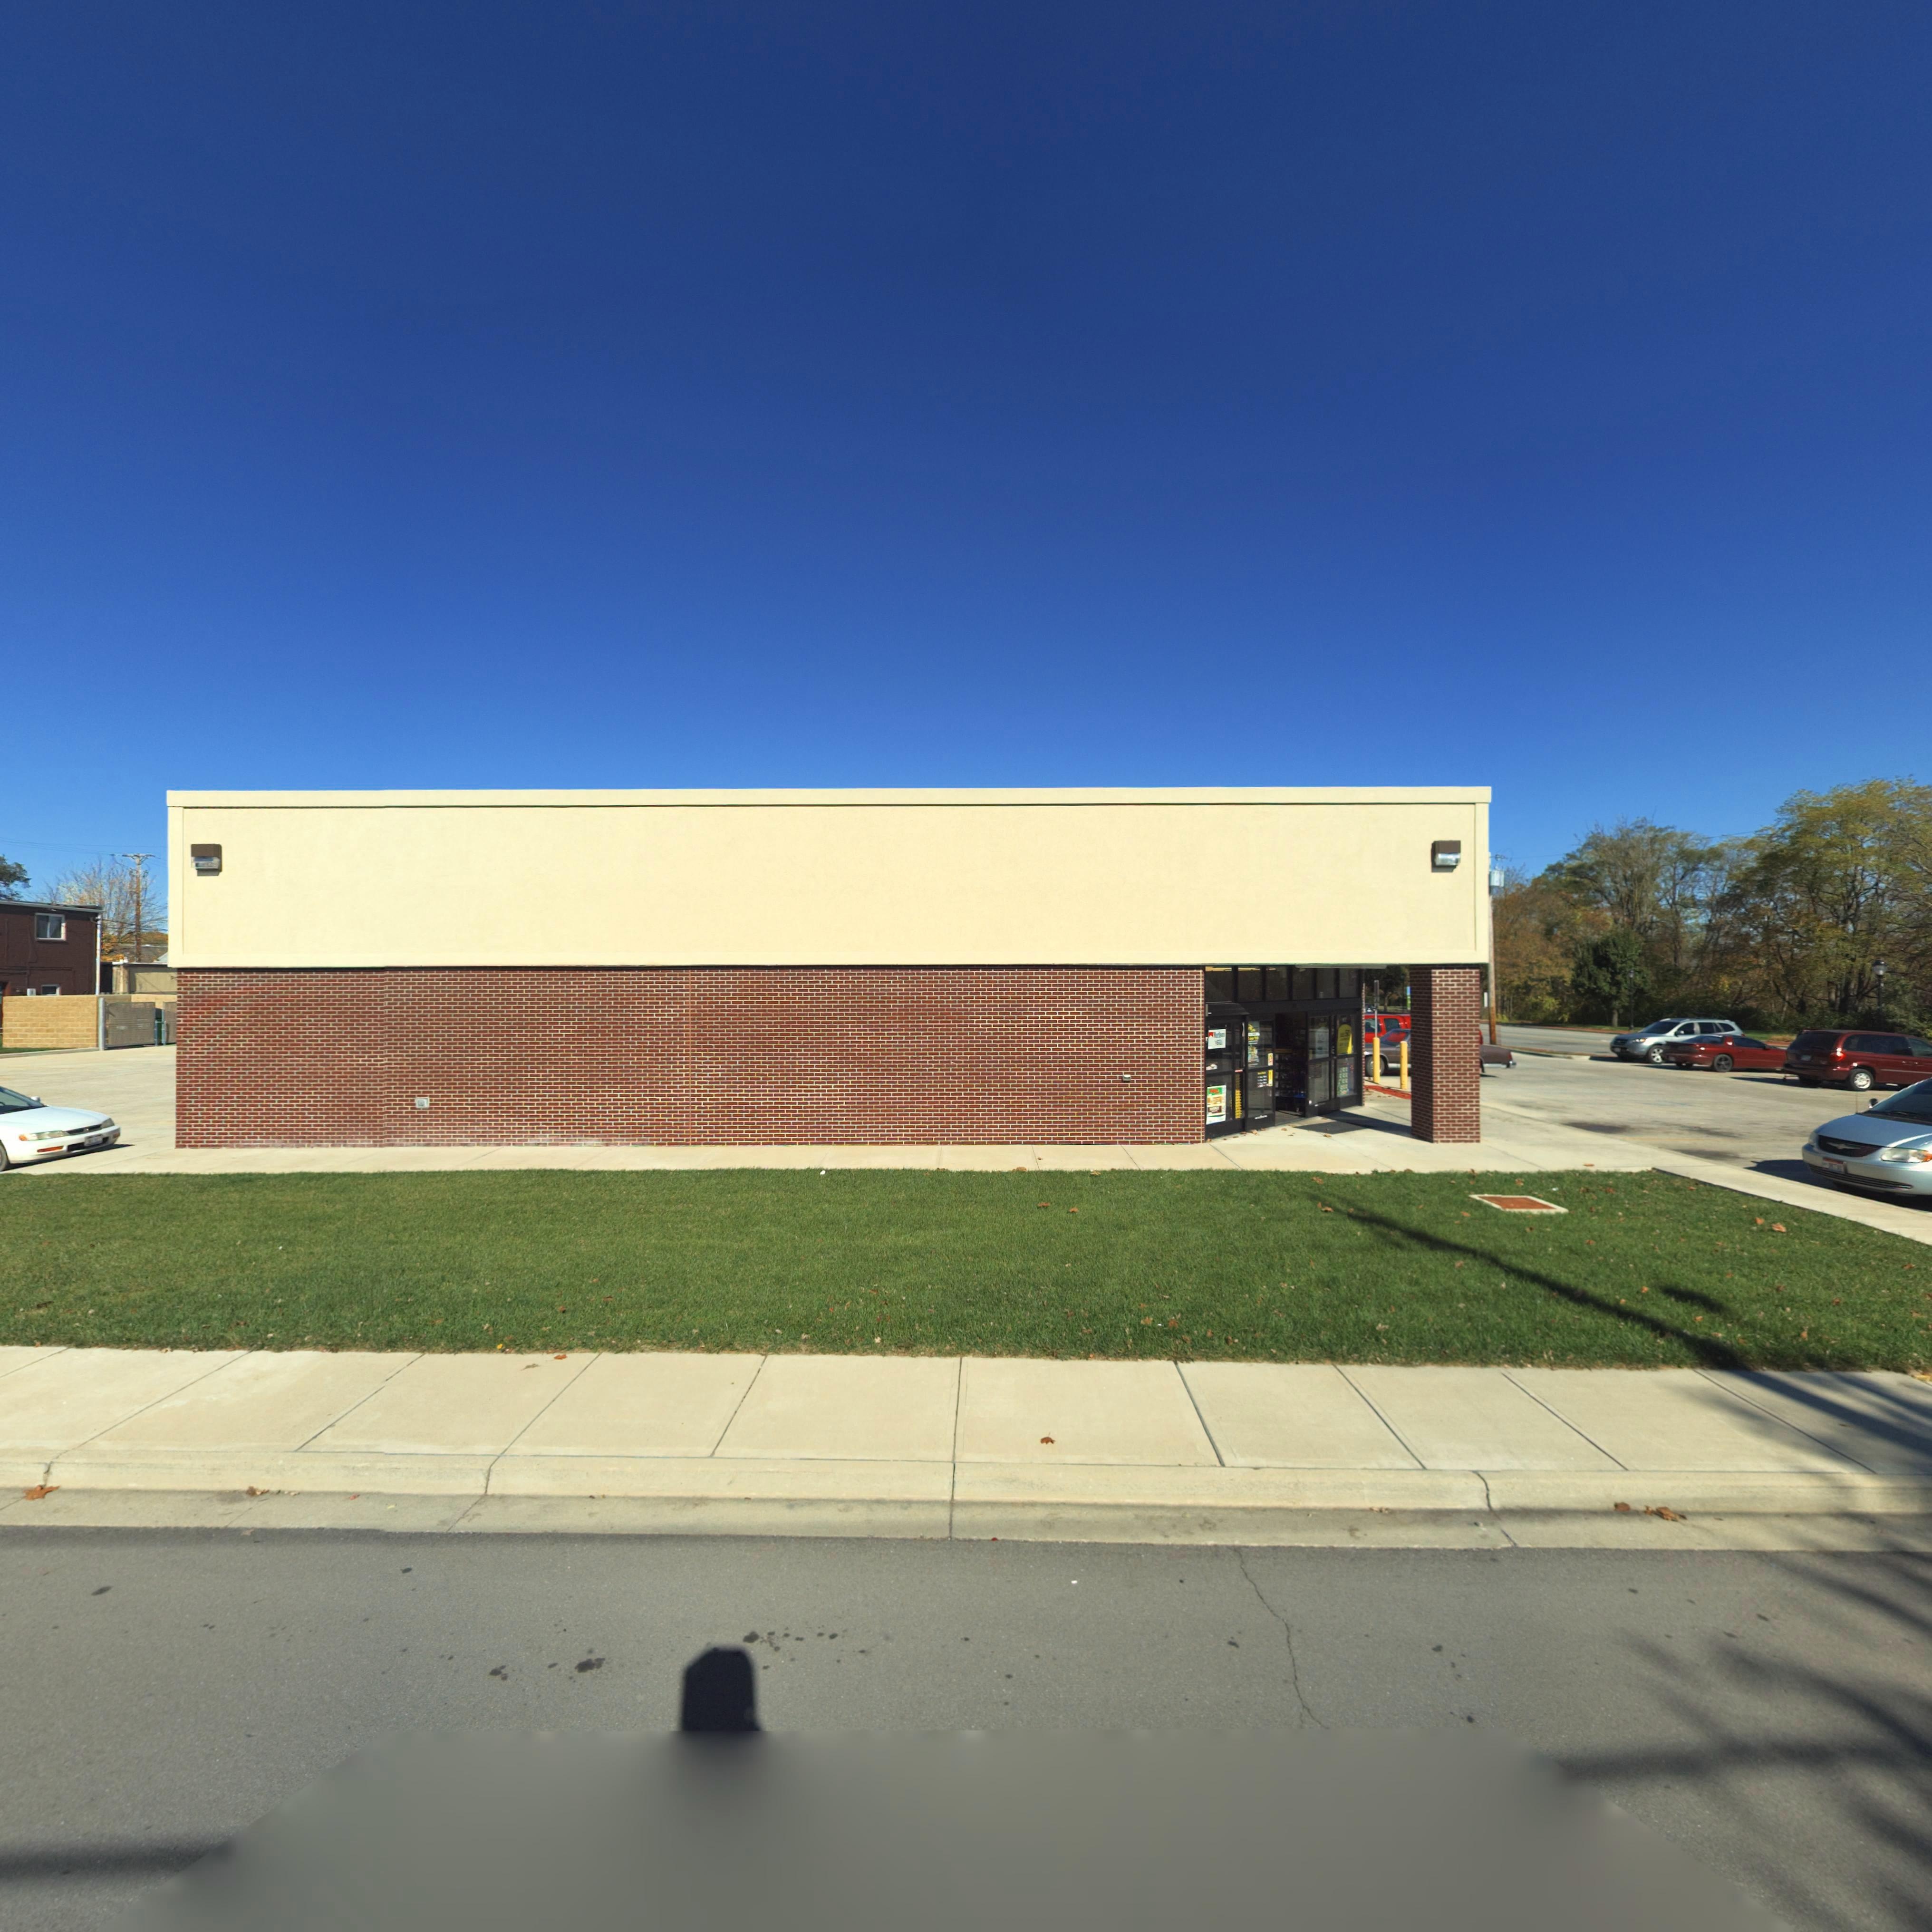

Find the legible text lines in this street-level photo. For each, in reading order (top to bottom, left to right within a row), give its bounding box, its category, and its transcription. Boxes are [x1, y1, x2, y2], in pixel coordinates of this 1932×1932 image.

[1319, 992, 1323, 998] StreetNumber: 11